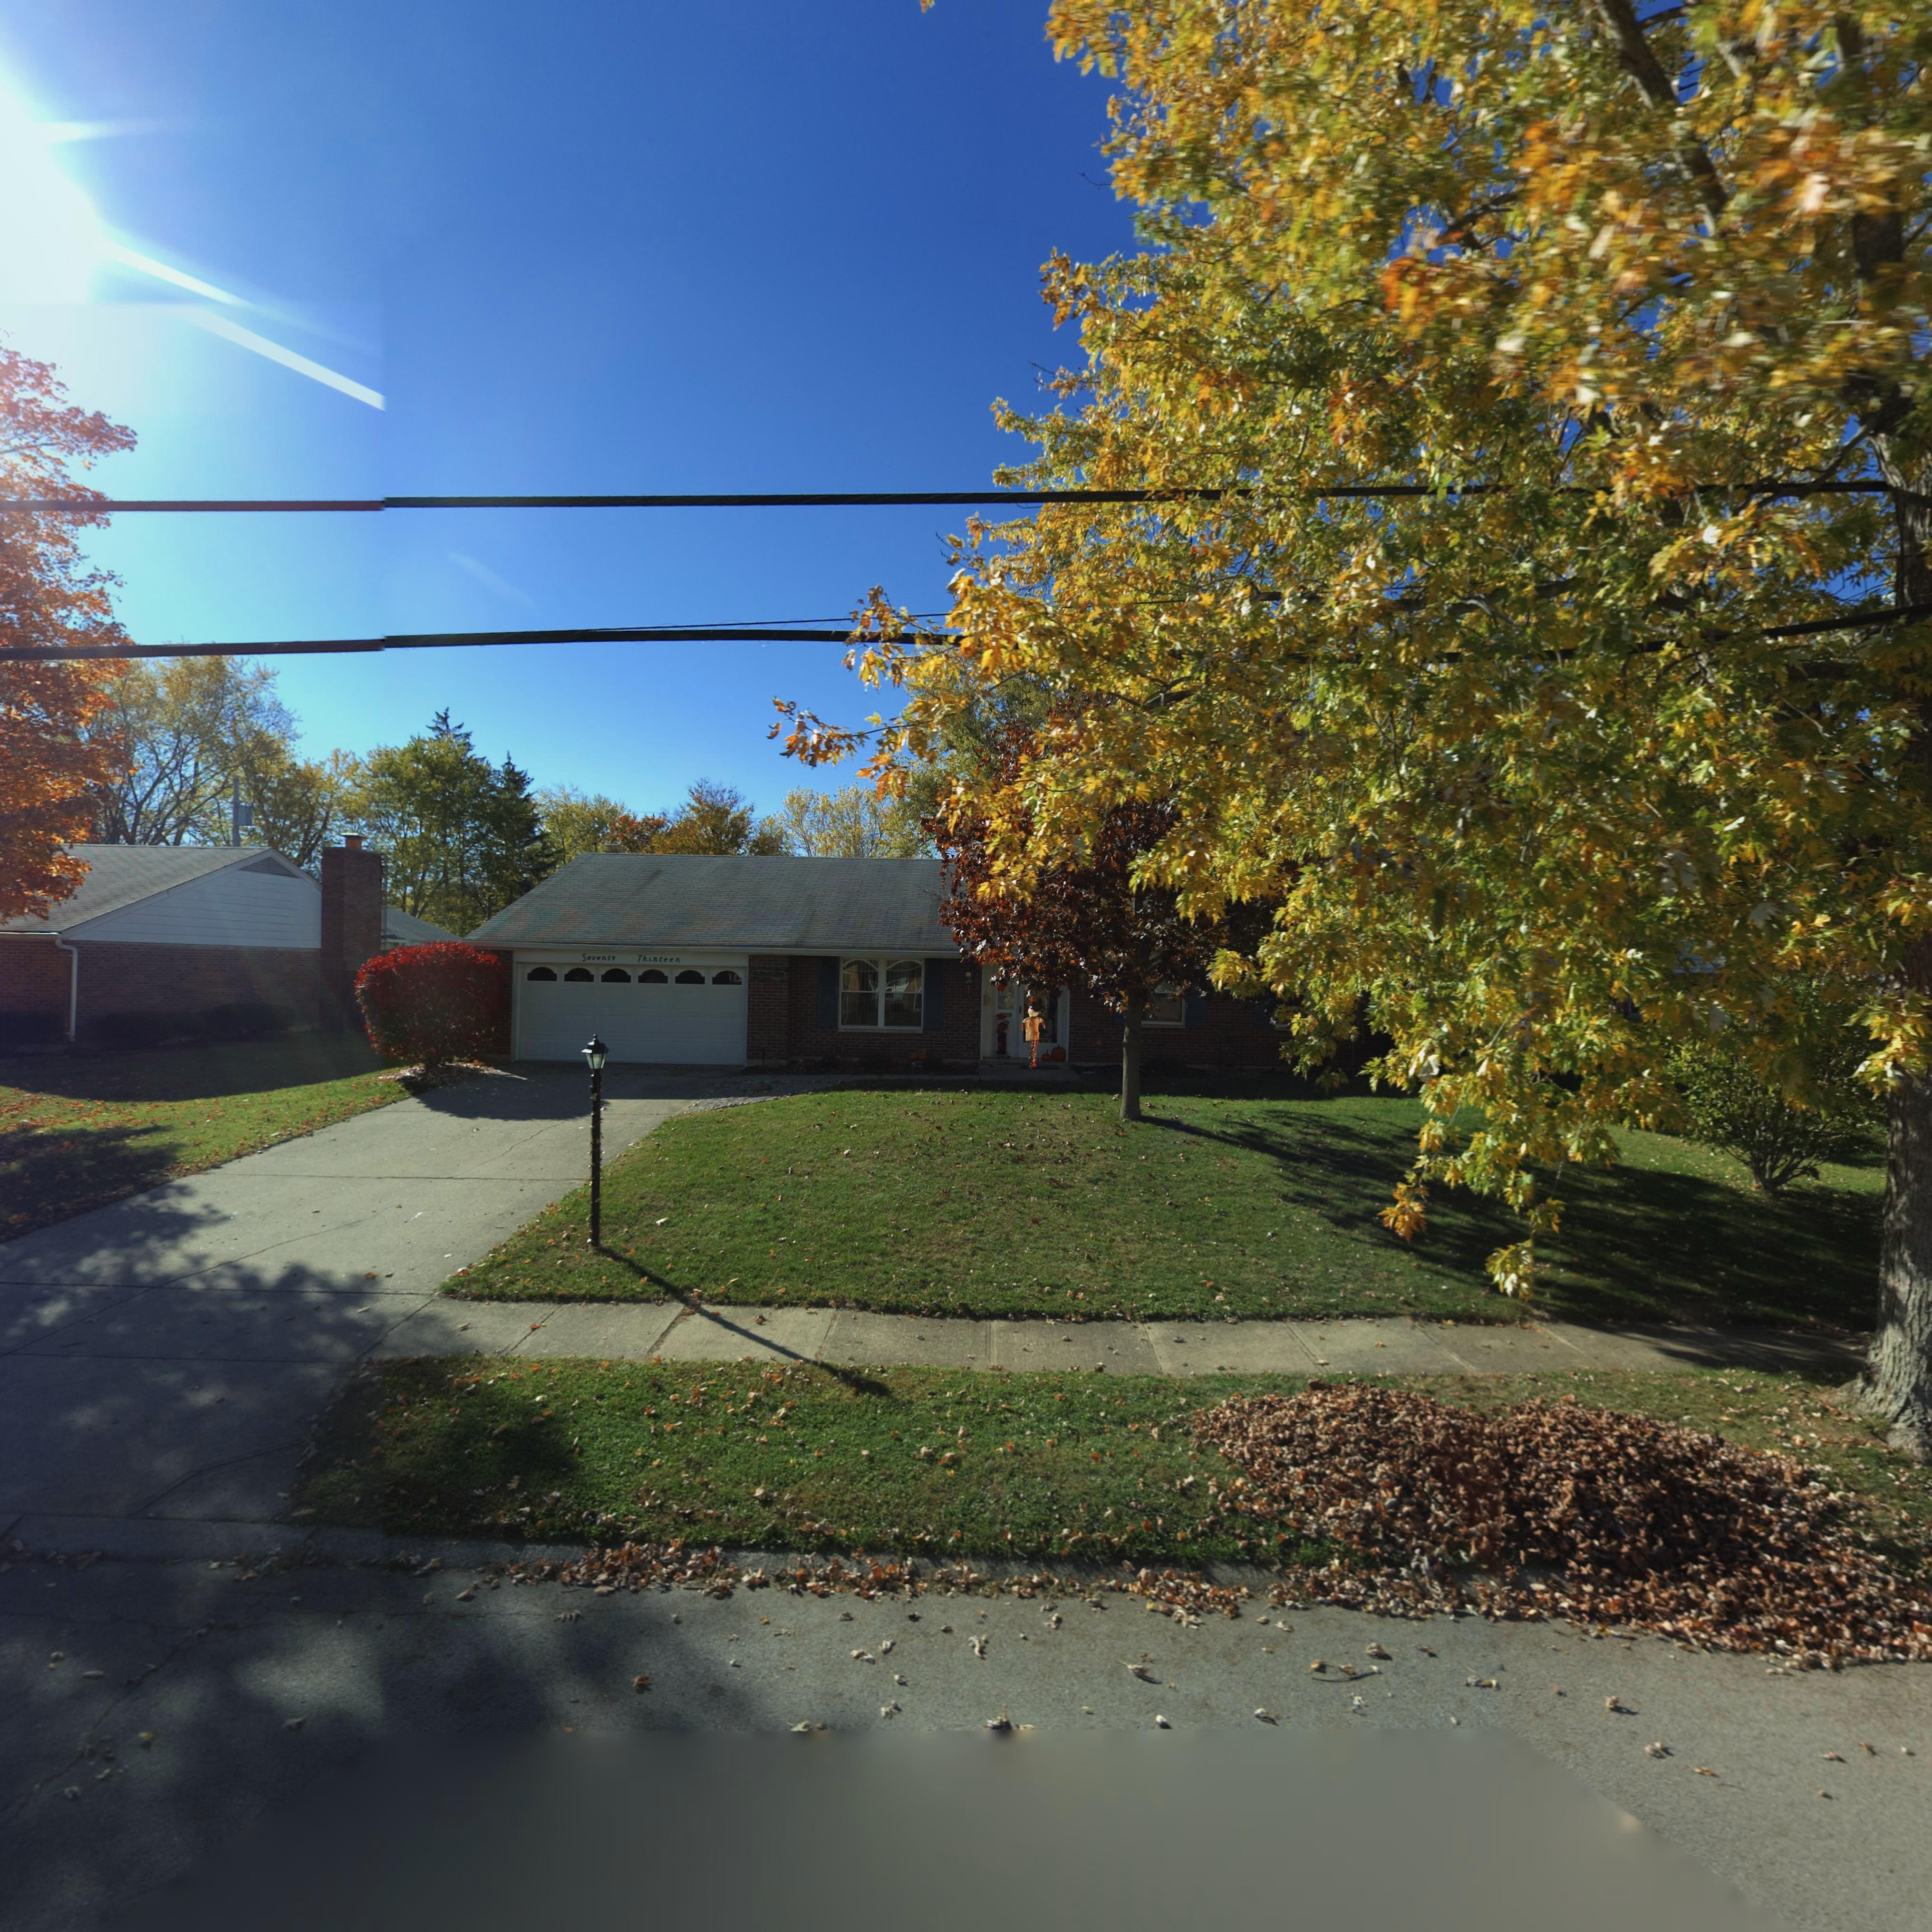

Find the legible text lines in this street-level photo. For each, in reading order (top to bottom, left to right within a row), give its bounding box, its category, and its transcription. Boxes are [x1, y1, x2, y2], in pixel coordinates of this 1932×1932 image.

[581, 953, 680, 963] StreetNumber: Seventy Thirteen